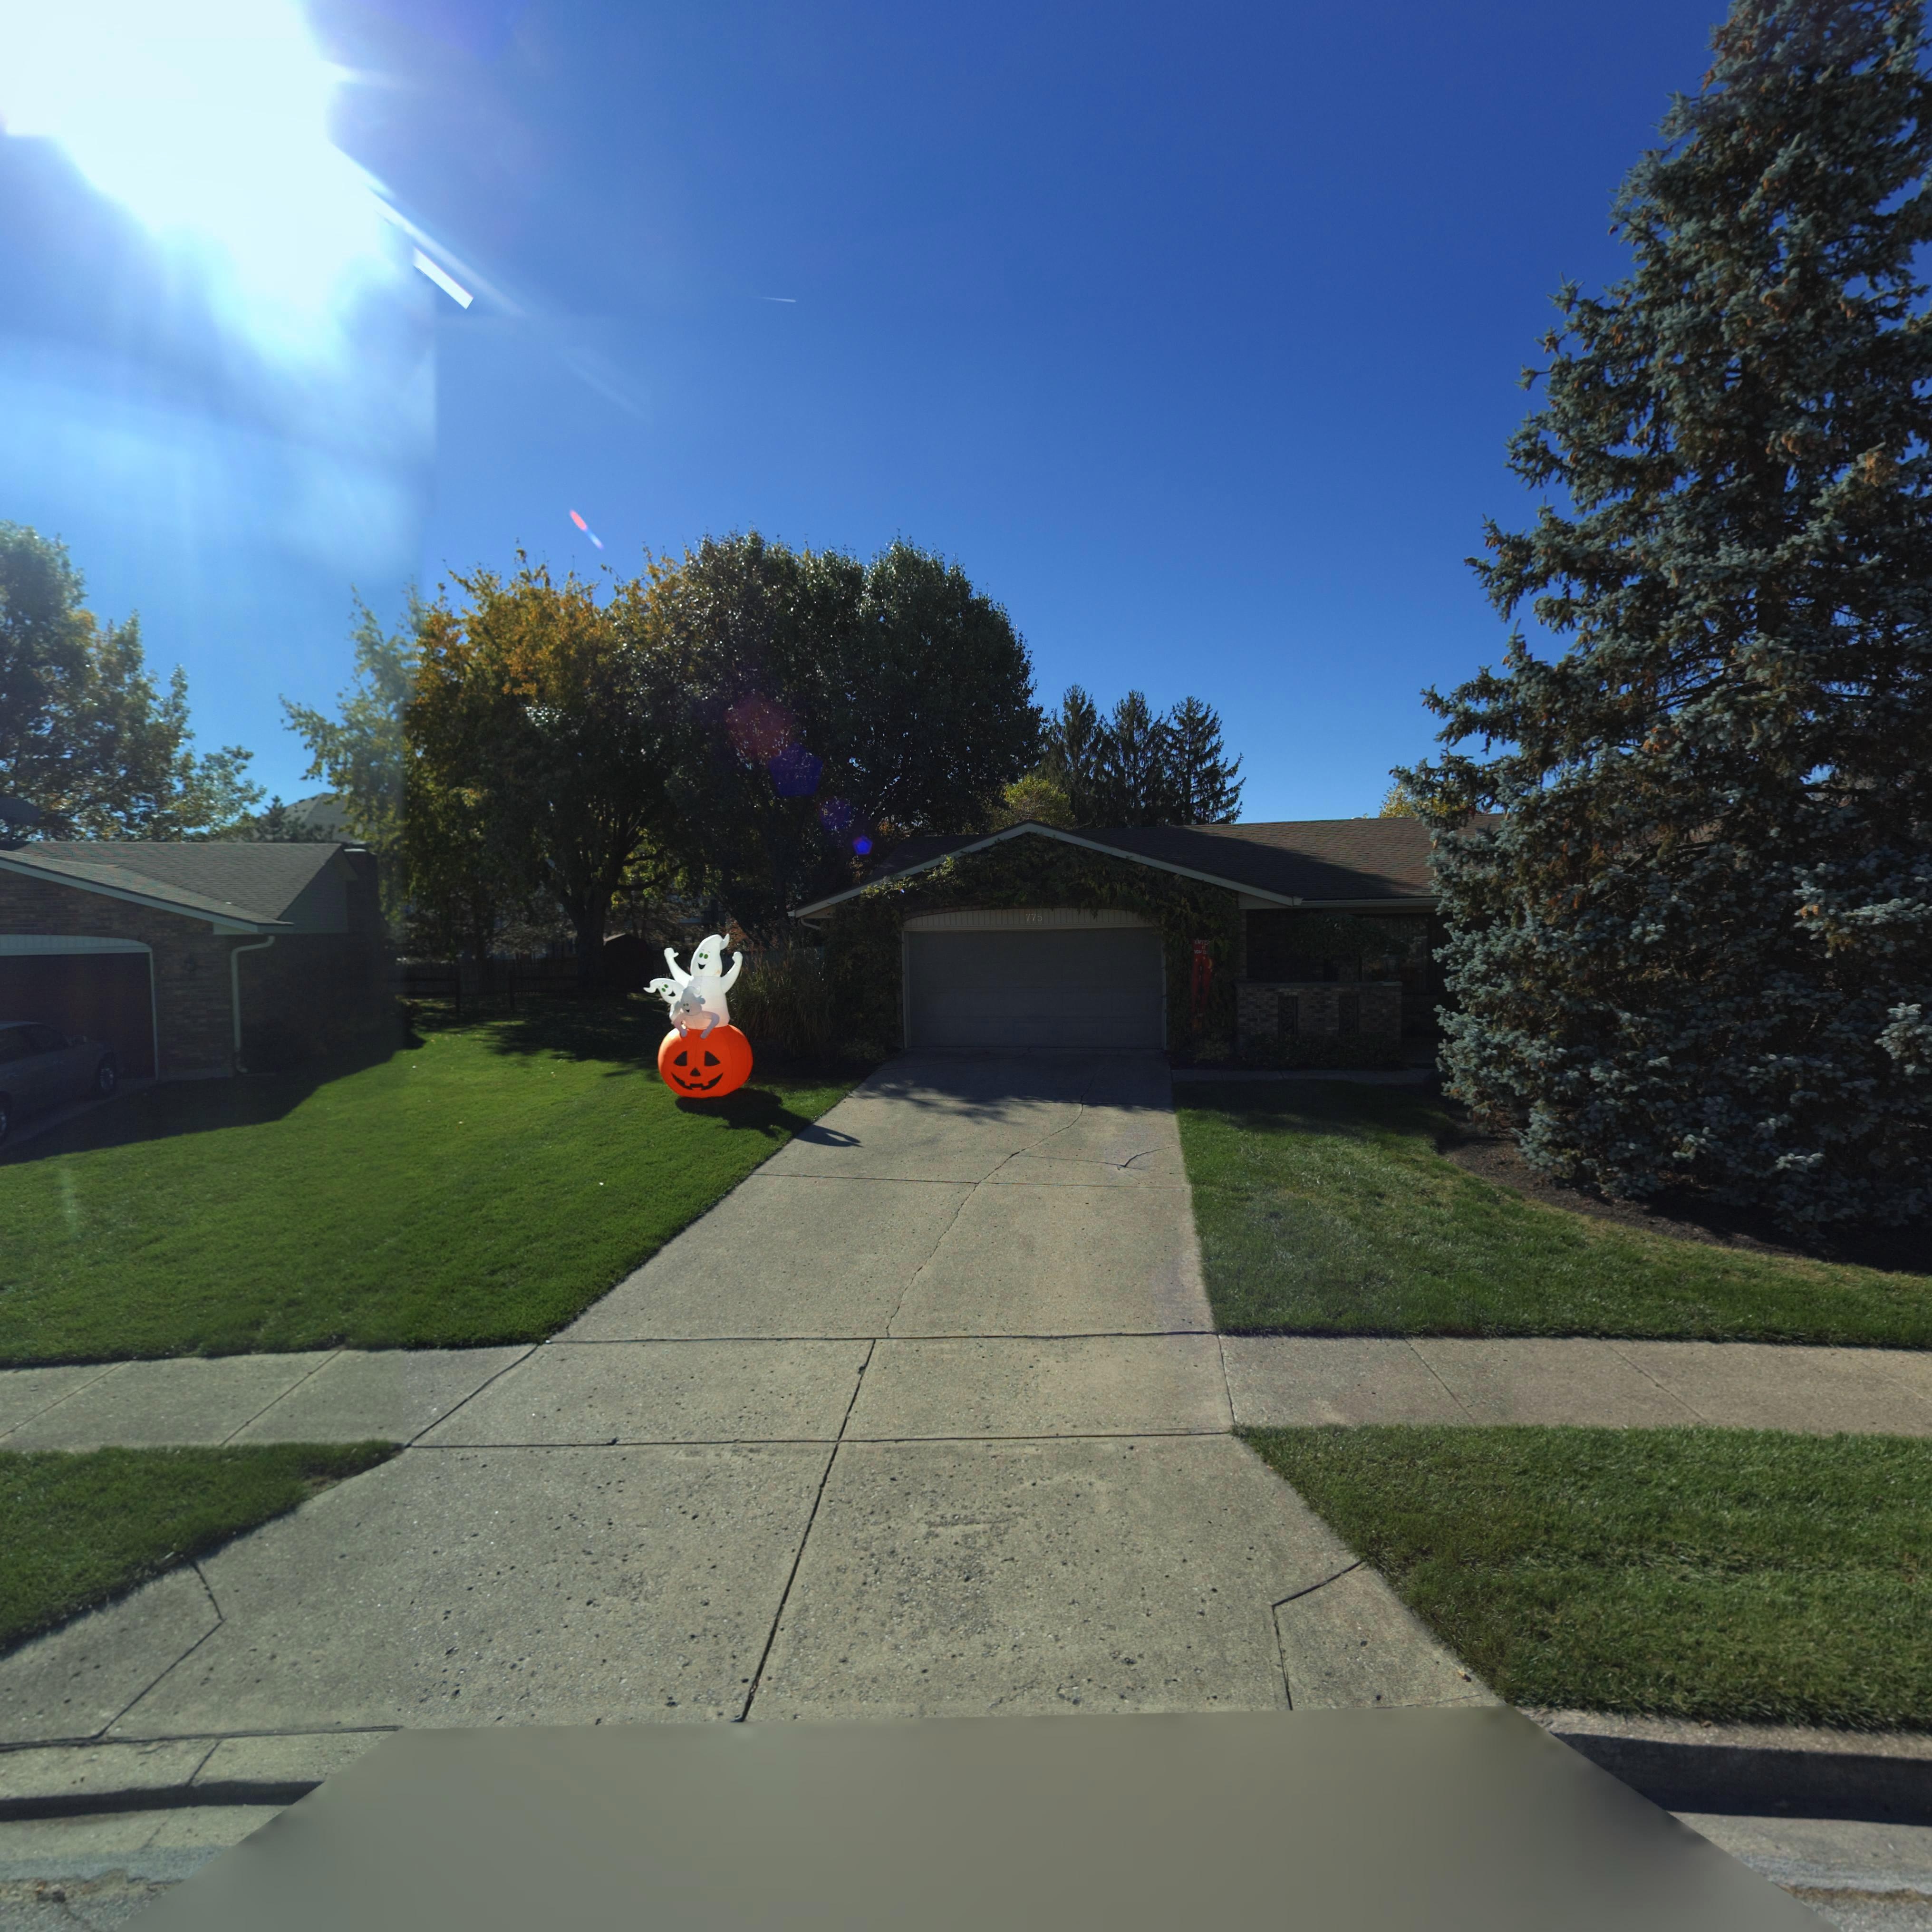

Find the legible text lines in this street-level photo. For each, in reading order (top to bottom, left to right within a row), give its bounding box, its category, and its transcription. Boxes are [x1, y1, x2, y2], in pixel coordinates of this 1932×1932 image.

[1025, 913, 1043, 922] StreetNumber: 775